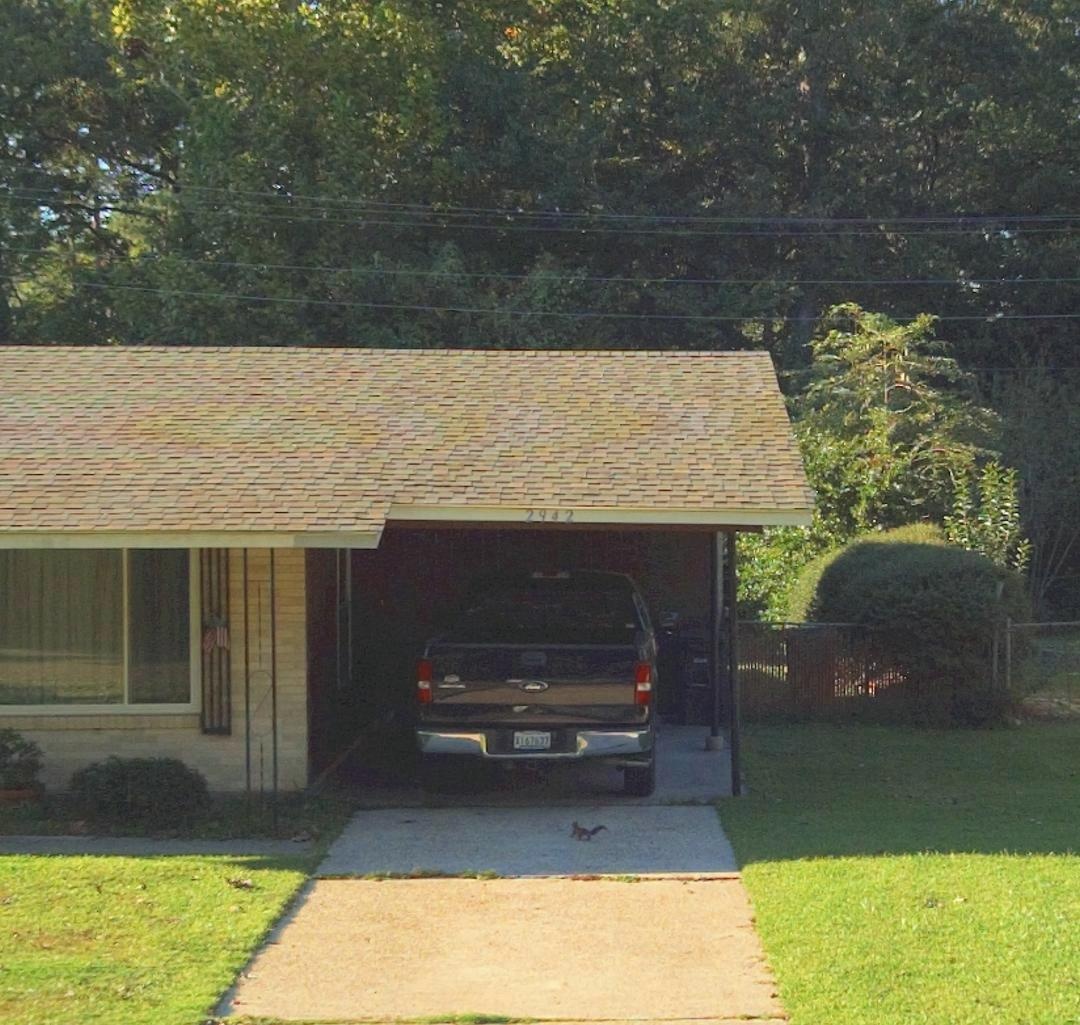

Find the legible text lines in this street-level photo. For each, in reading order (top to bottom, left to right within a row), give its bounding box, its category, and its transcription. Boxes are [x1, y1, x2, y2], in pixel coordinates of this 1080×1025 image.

[523, 508, 575, 523] StreetNumber: 2942
[513, 732, 551, 746] None: *1*7677